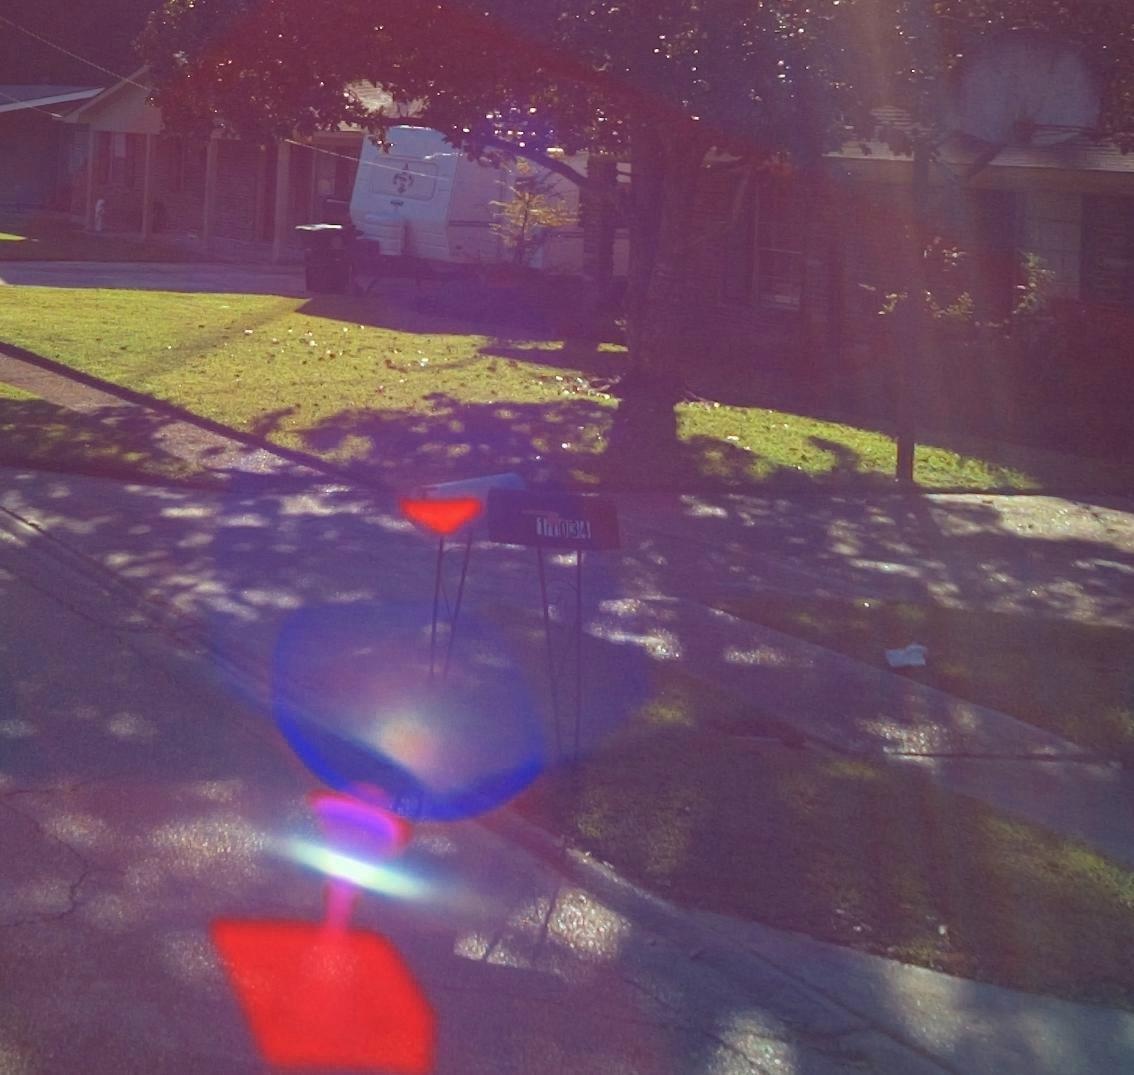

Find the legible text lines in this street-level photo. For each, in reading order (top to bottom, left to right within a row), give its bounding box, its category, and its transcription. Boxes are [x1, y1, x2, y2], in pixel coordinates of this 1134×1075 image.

[536, 517, 592, 540] StreetNumber: 1*034